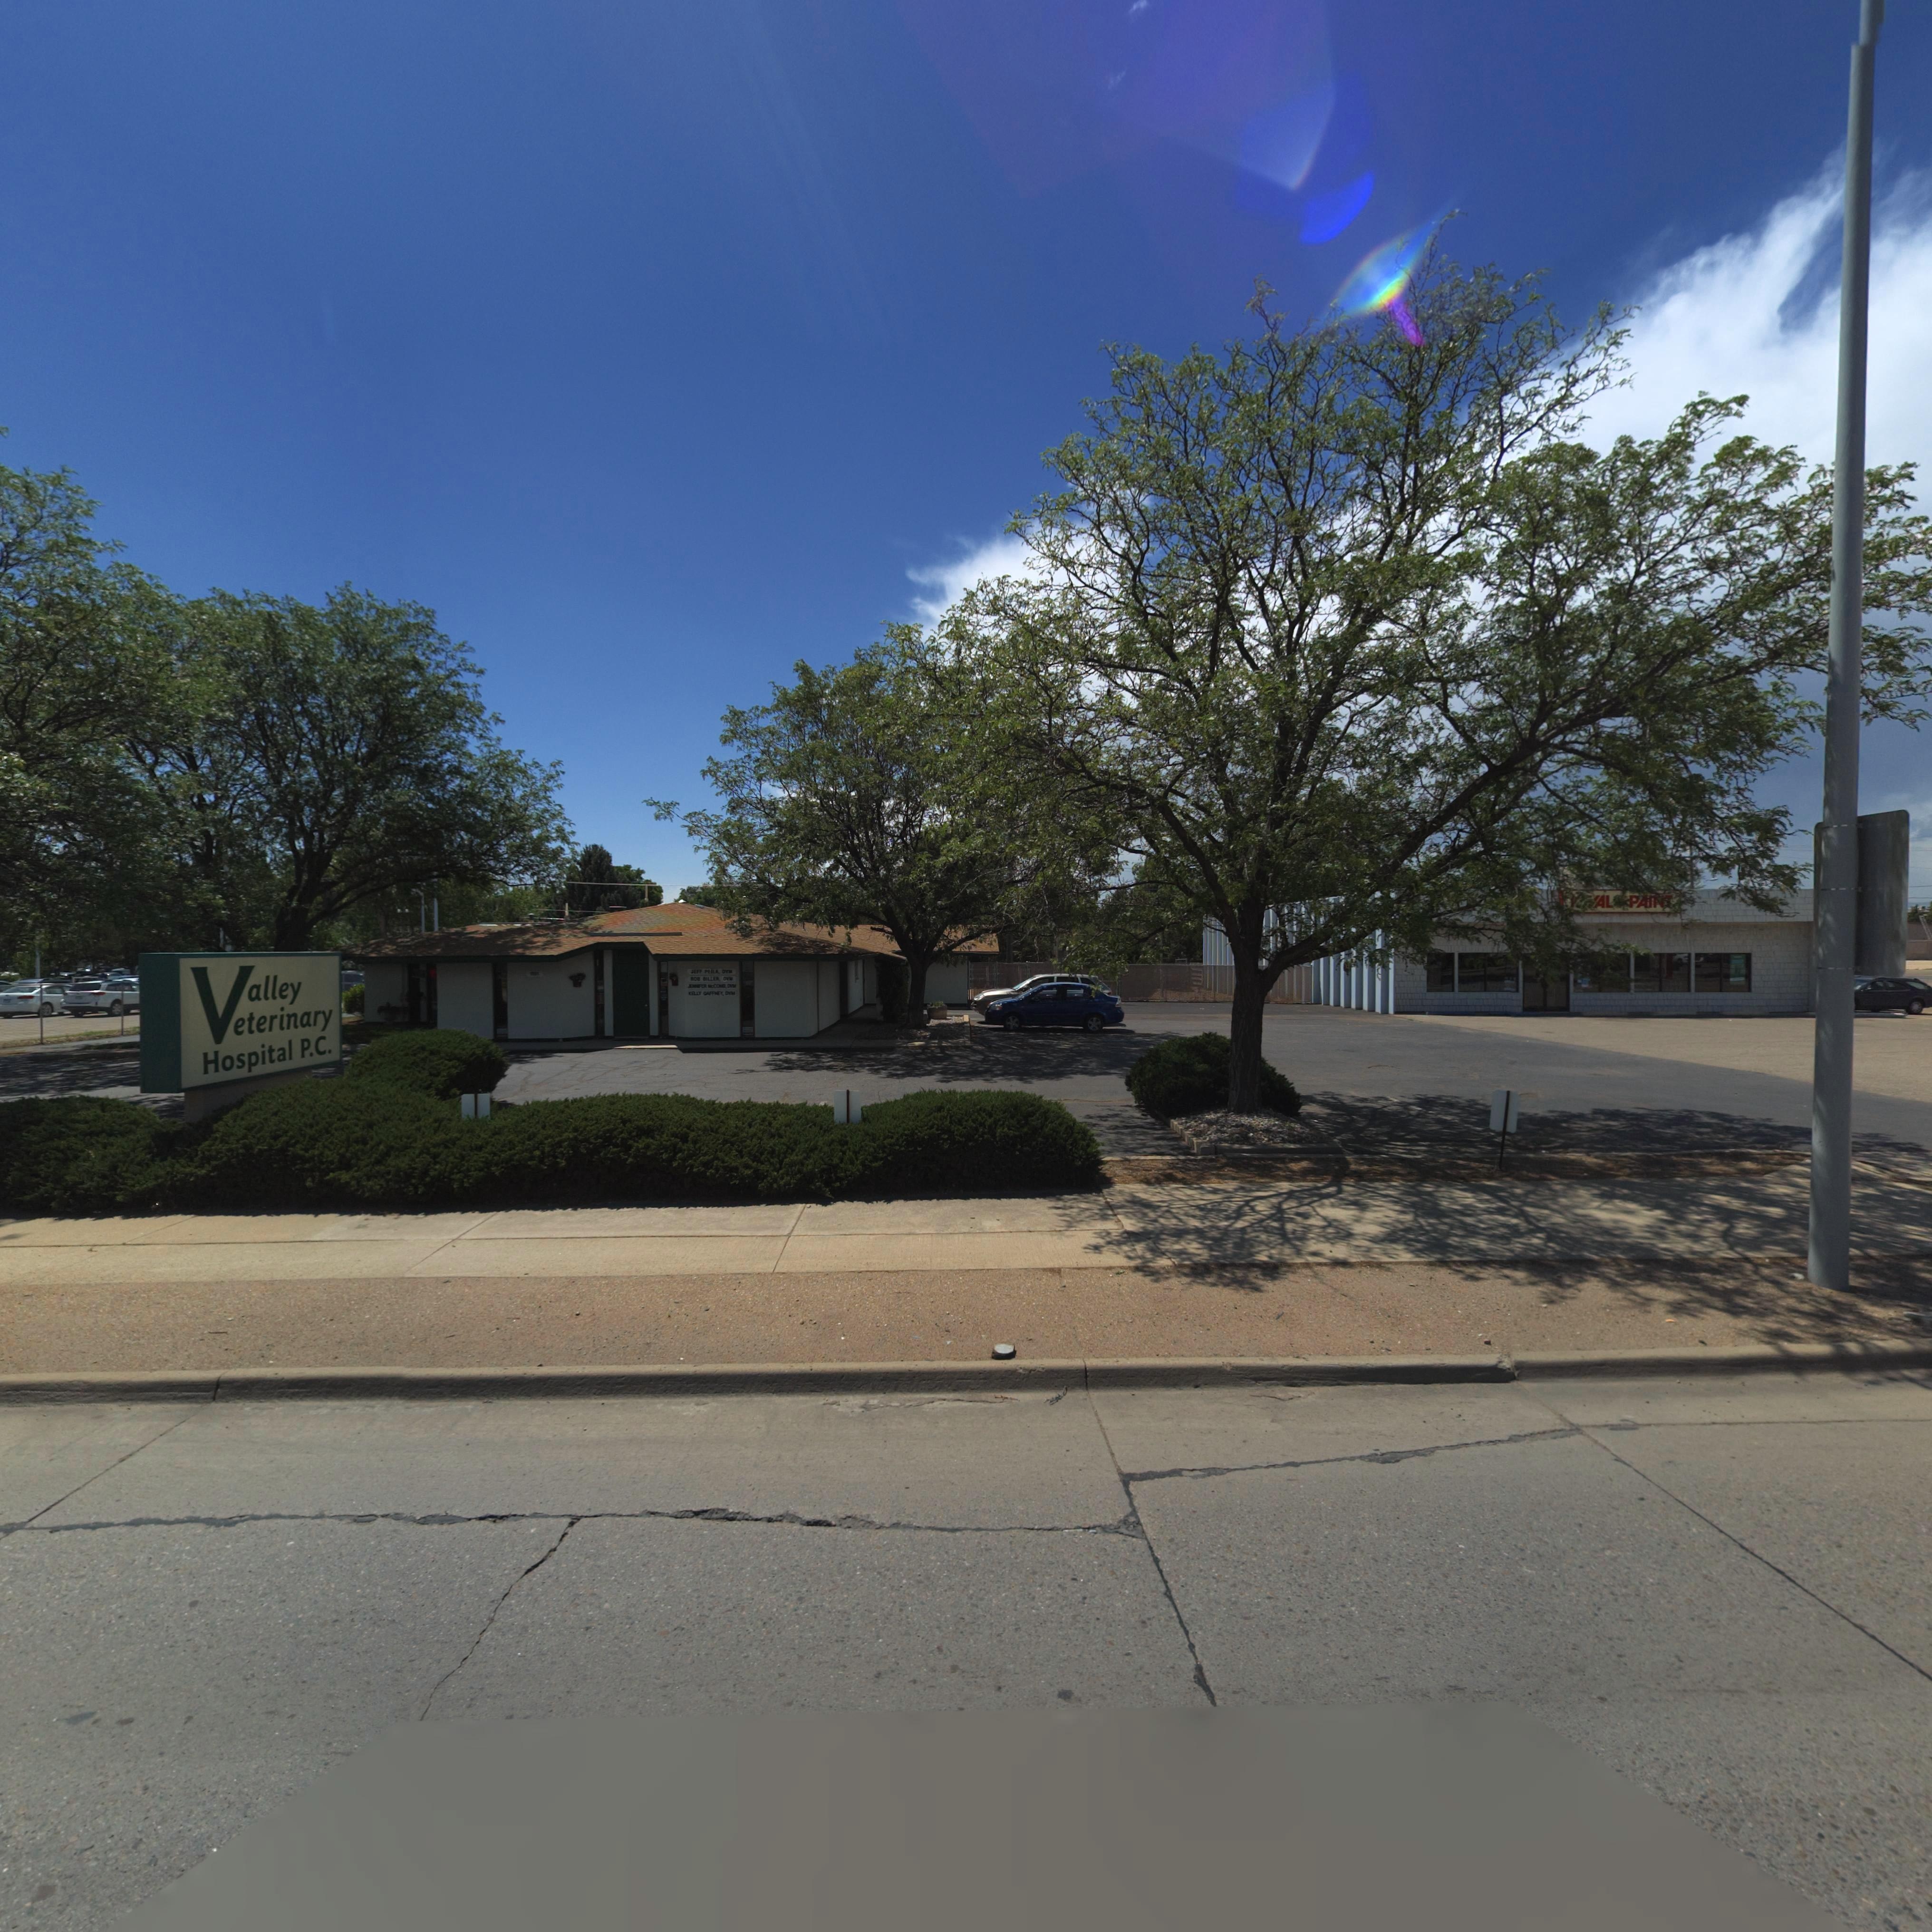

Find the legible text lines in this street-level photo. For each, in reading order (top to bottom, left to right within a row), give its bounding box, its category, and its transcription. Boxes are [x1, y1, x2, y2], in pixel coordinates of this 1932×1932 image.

[1569, 893, 1674, 909] BusinessName: **AL * PAINT
[247, 973, 303, 1005] BusinessName: alley
[529, 971, 539, 976] StreetNumber: 1*91
[690, 969, 733, 974] BusinessName: JEFF PEILA, DVM
[690, 976, 733, 981] BusinessName: ROB BILLER, DVM
[688, 990, 735, 996] BusinessName: KELLY OAF*NEY, DVM
[687, 983, 736, 989] BusinessName: JEN**FER McCO*B, DVM
[189, 964, 257, 1046] BusinessName: V
[232, 1006, 334, 1037] BusinessName: eterinary
[202, 1034, 333, 1075] BusinessName: Hospital P.C.